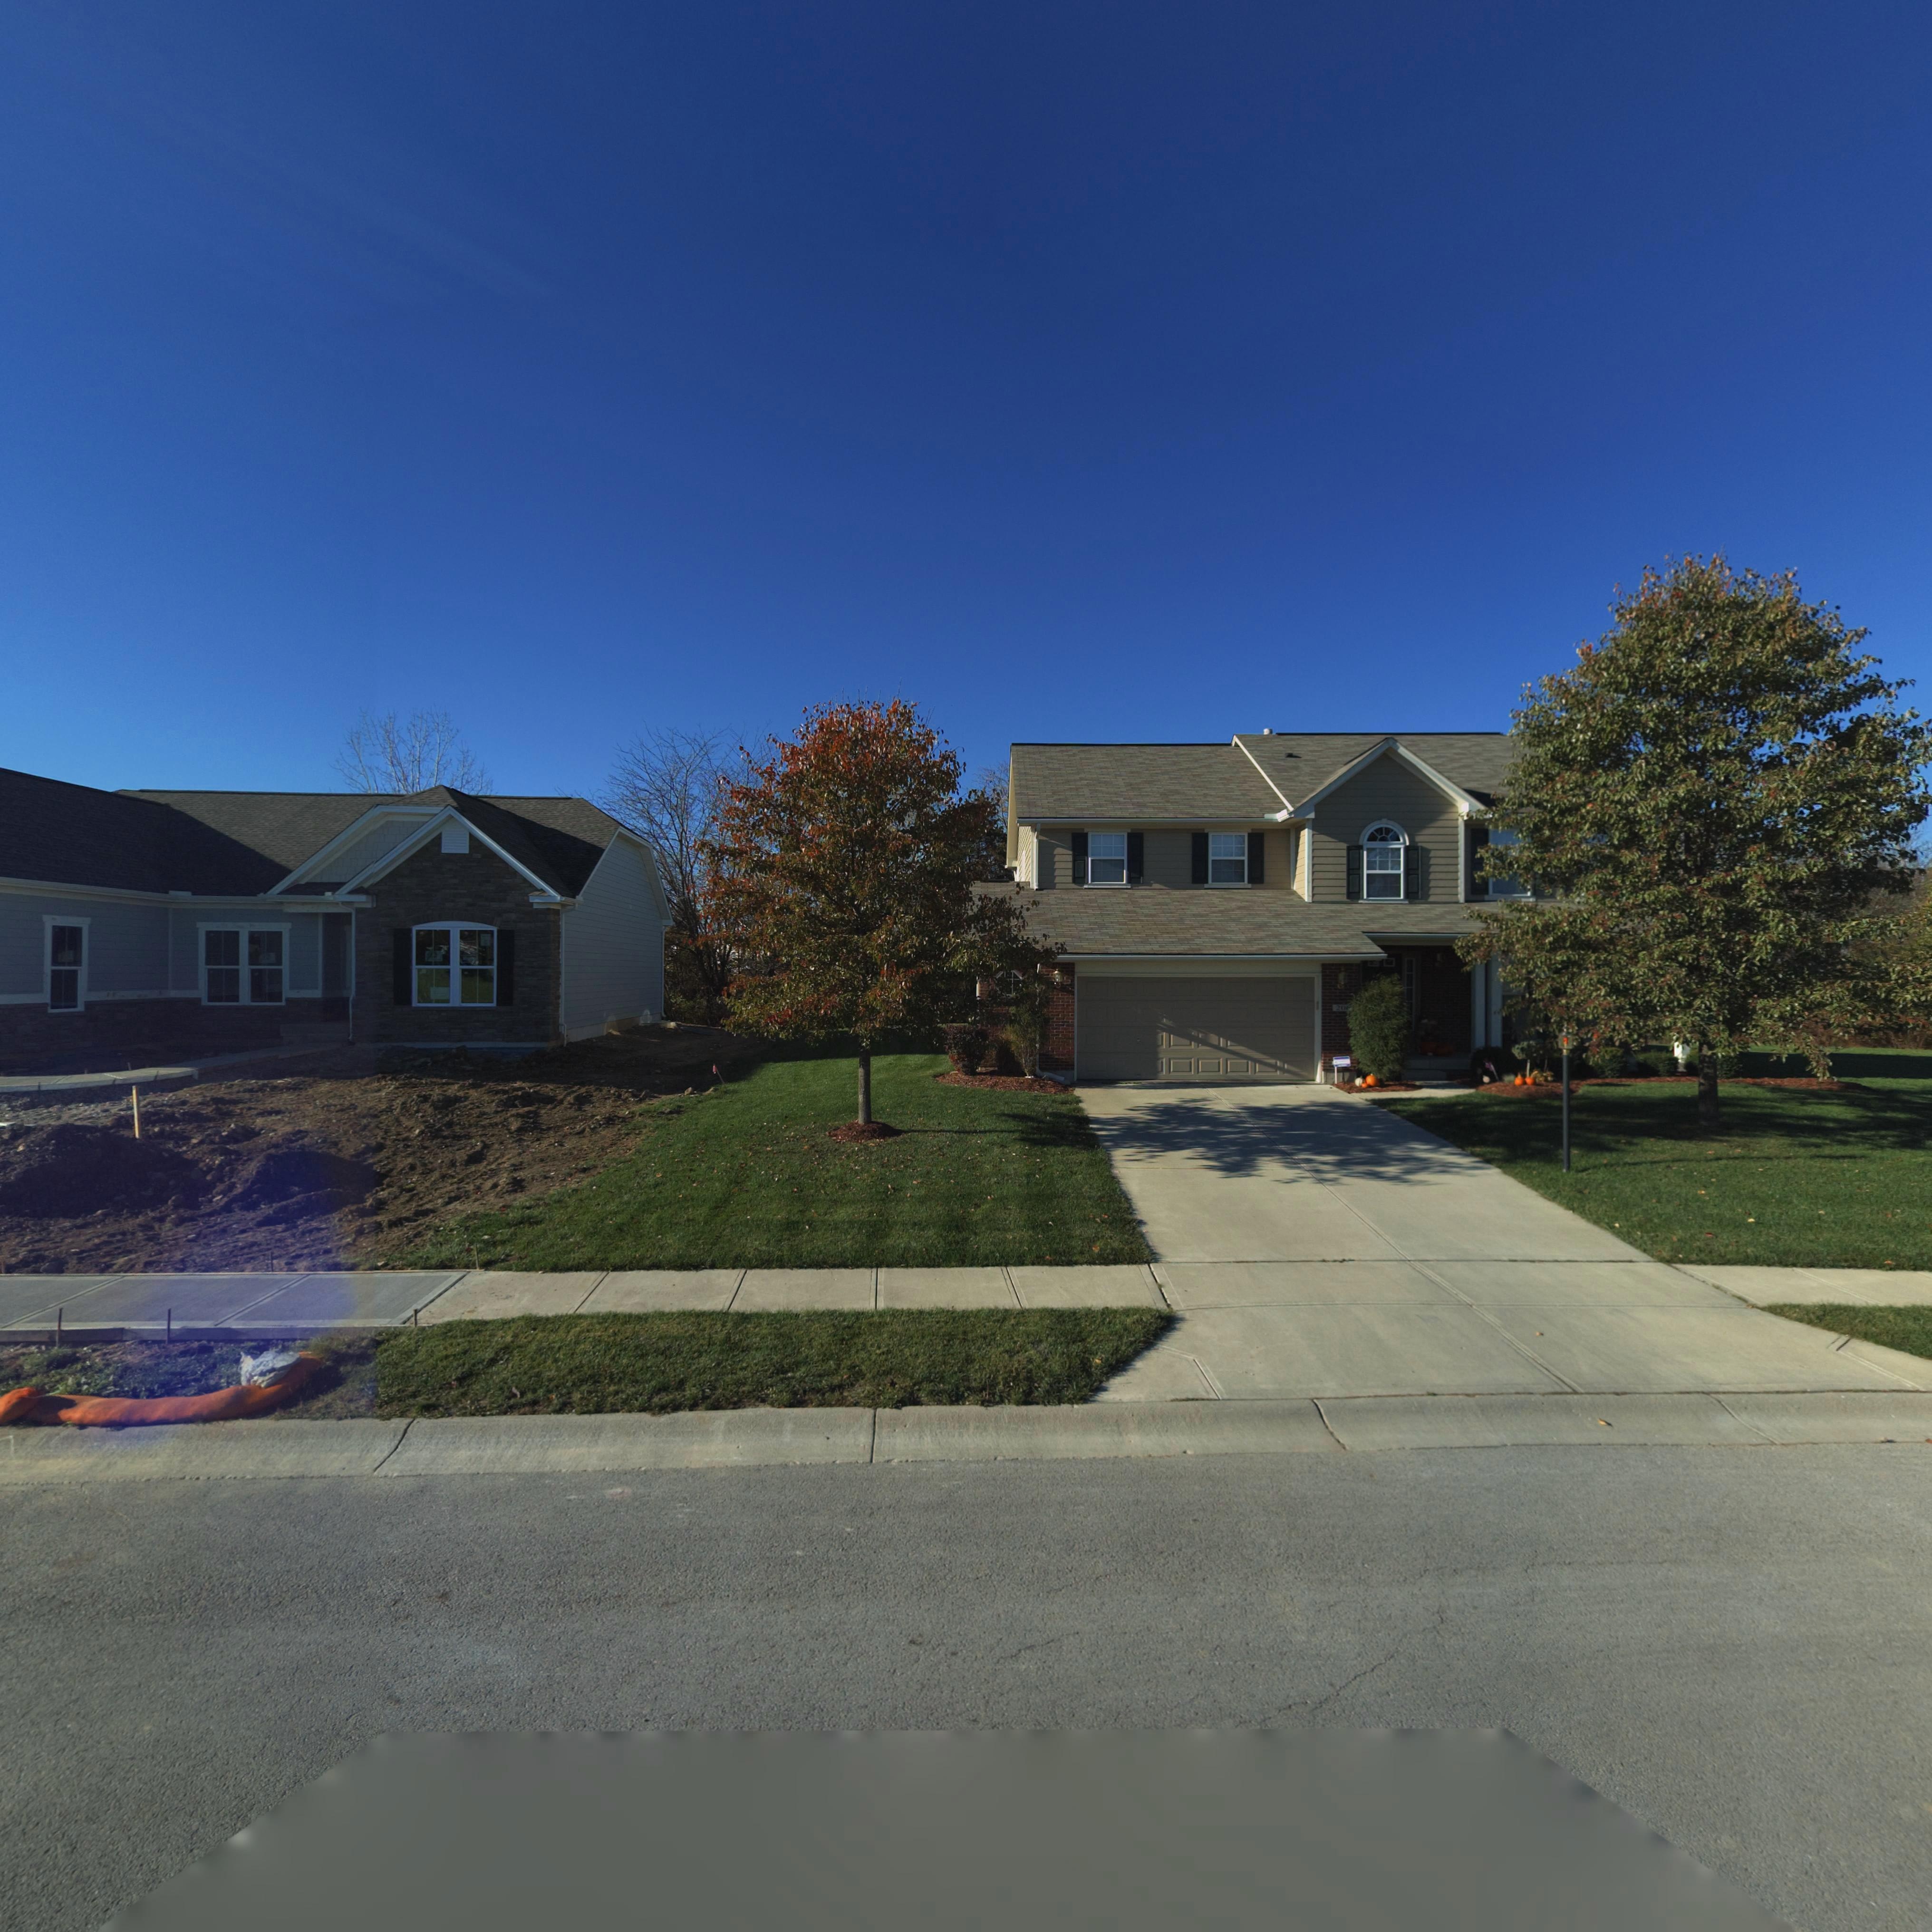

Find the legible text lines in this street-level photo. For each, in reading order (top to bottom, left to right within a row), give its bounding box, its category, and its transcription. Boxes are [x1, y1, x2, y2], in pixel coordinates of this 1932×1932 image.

[1335, 1004, 1346, 1011] StreetNumber: 20